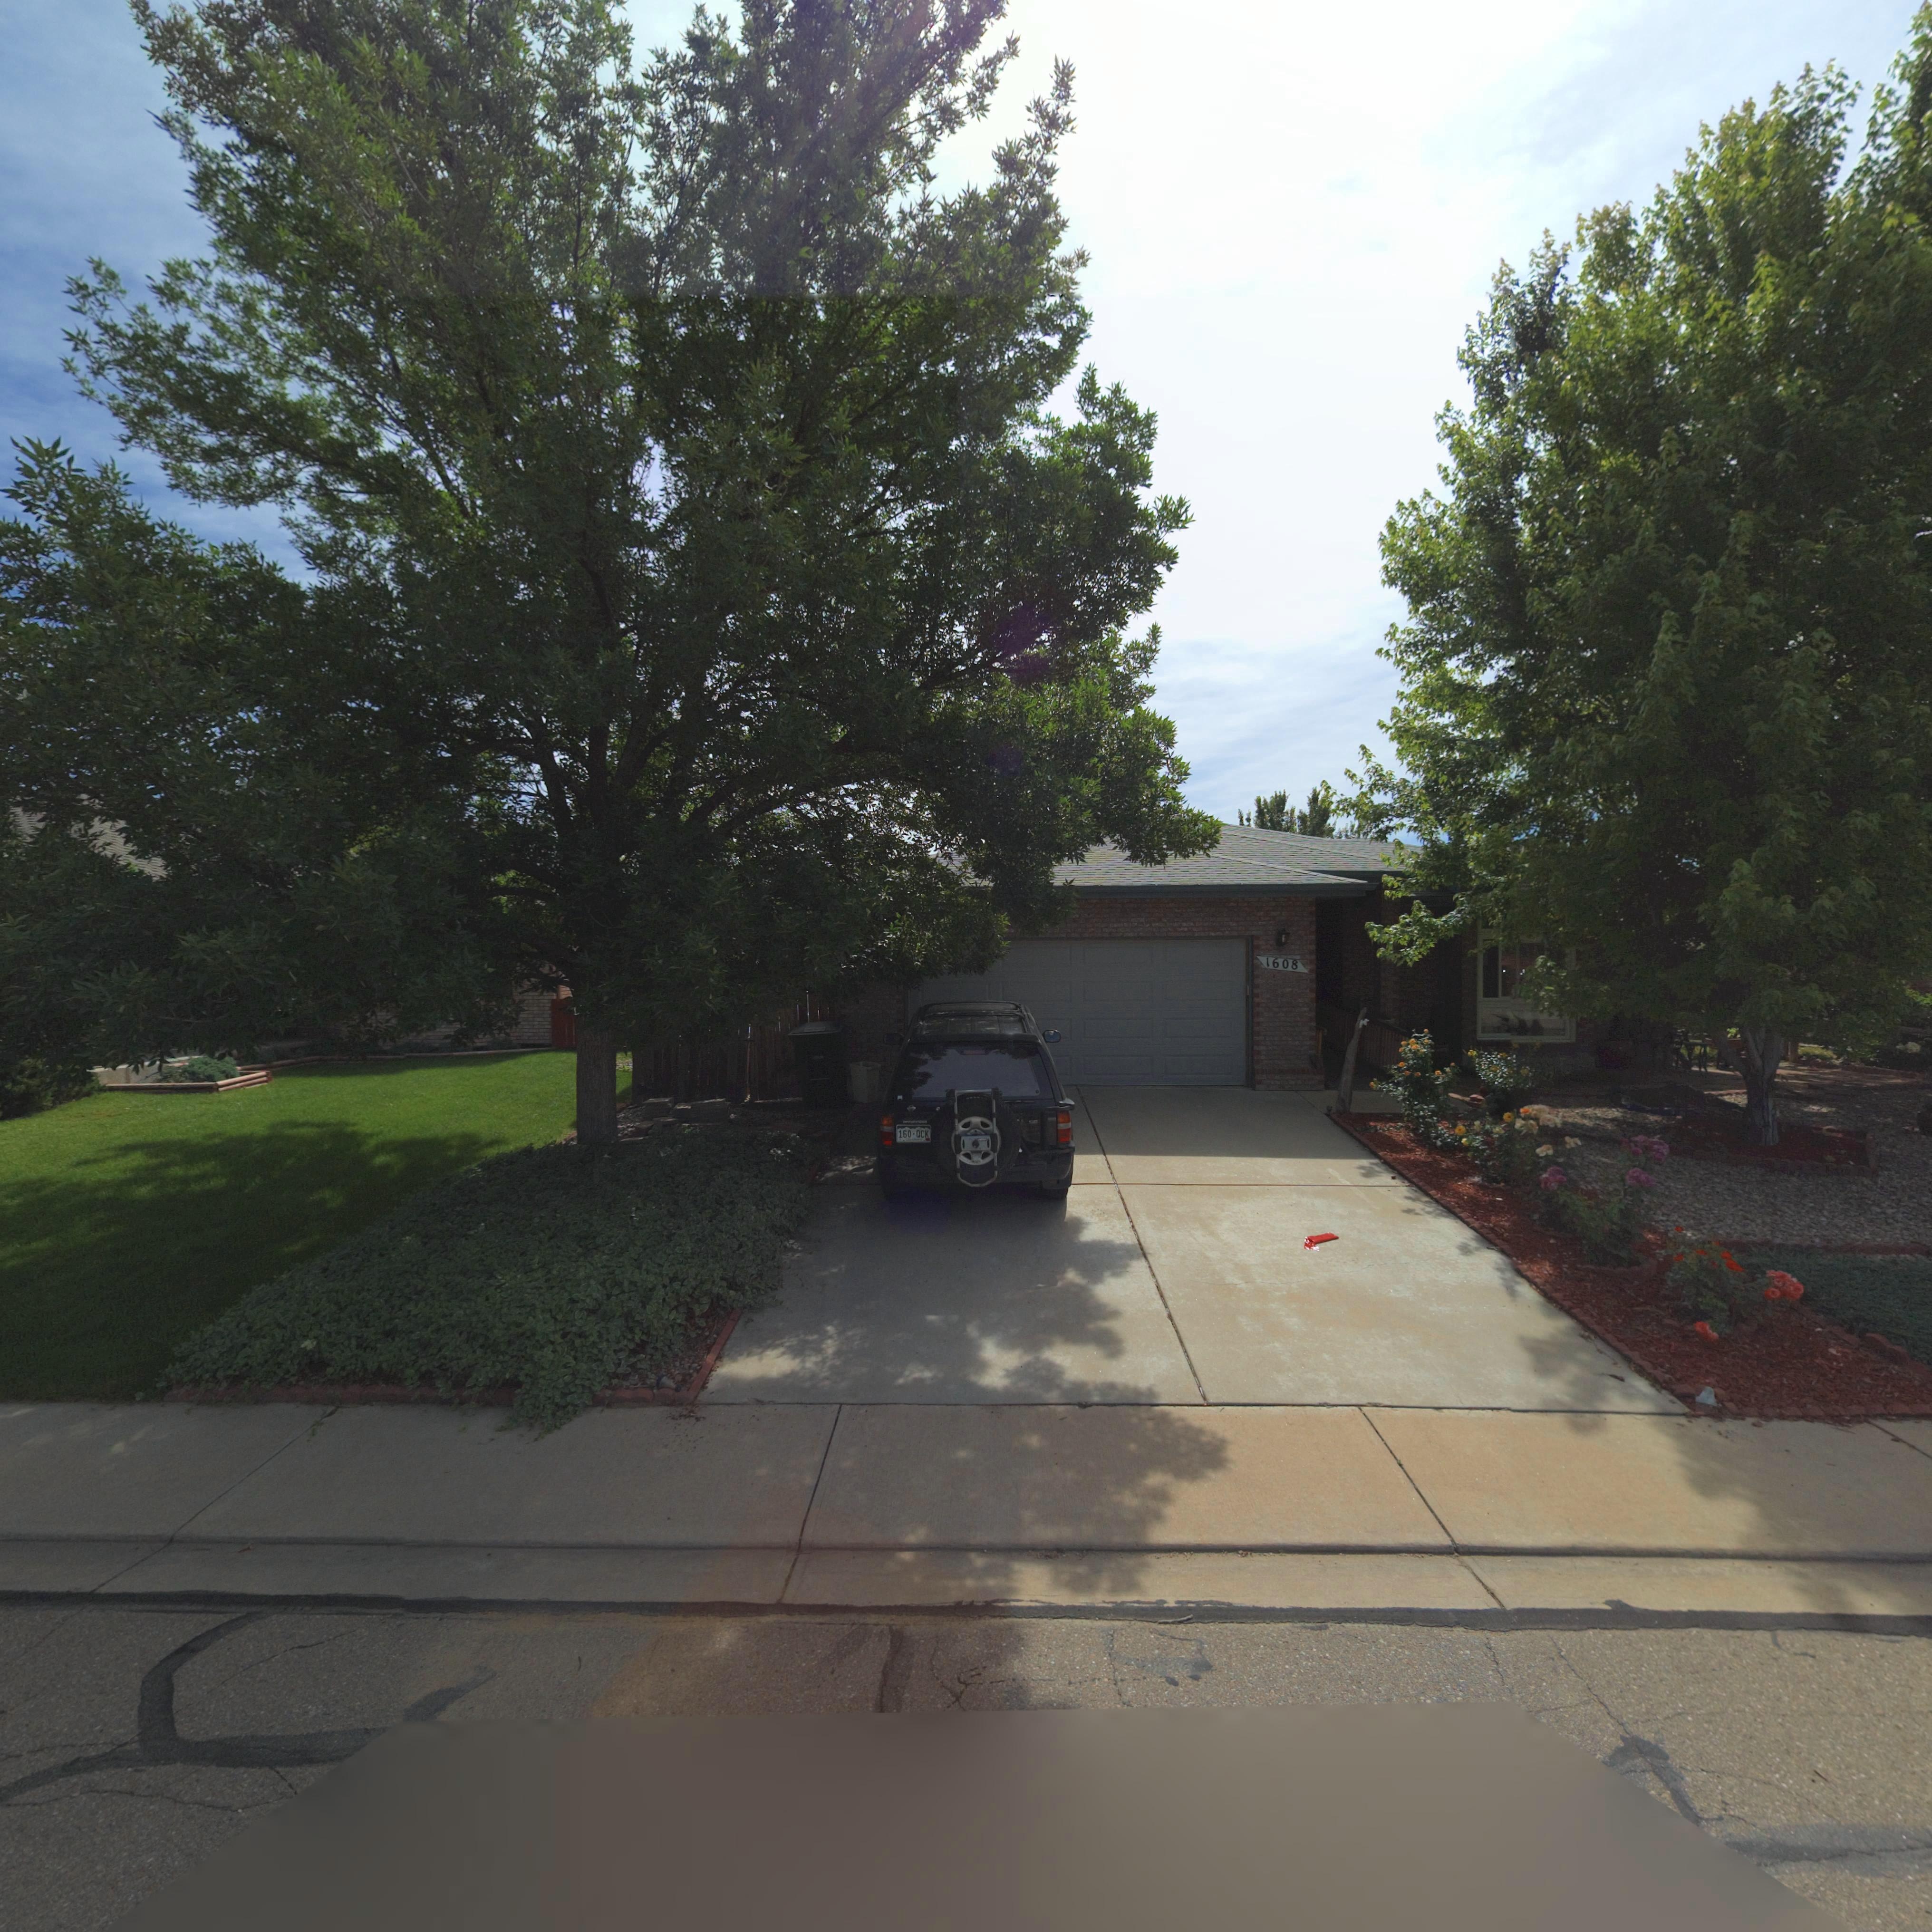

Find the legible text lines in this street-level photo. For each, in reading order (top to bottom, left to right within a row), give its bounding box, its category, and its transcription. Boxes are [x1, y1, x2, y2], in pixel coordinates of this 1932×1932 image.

[1265, 957, 1298, 970] StreetNumber: 1608